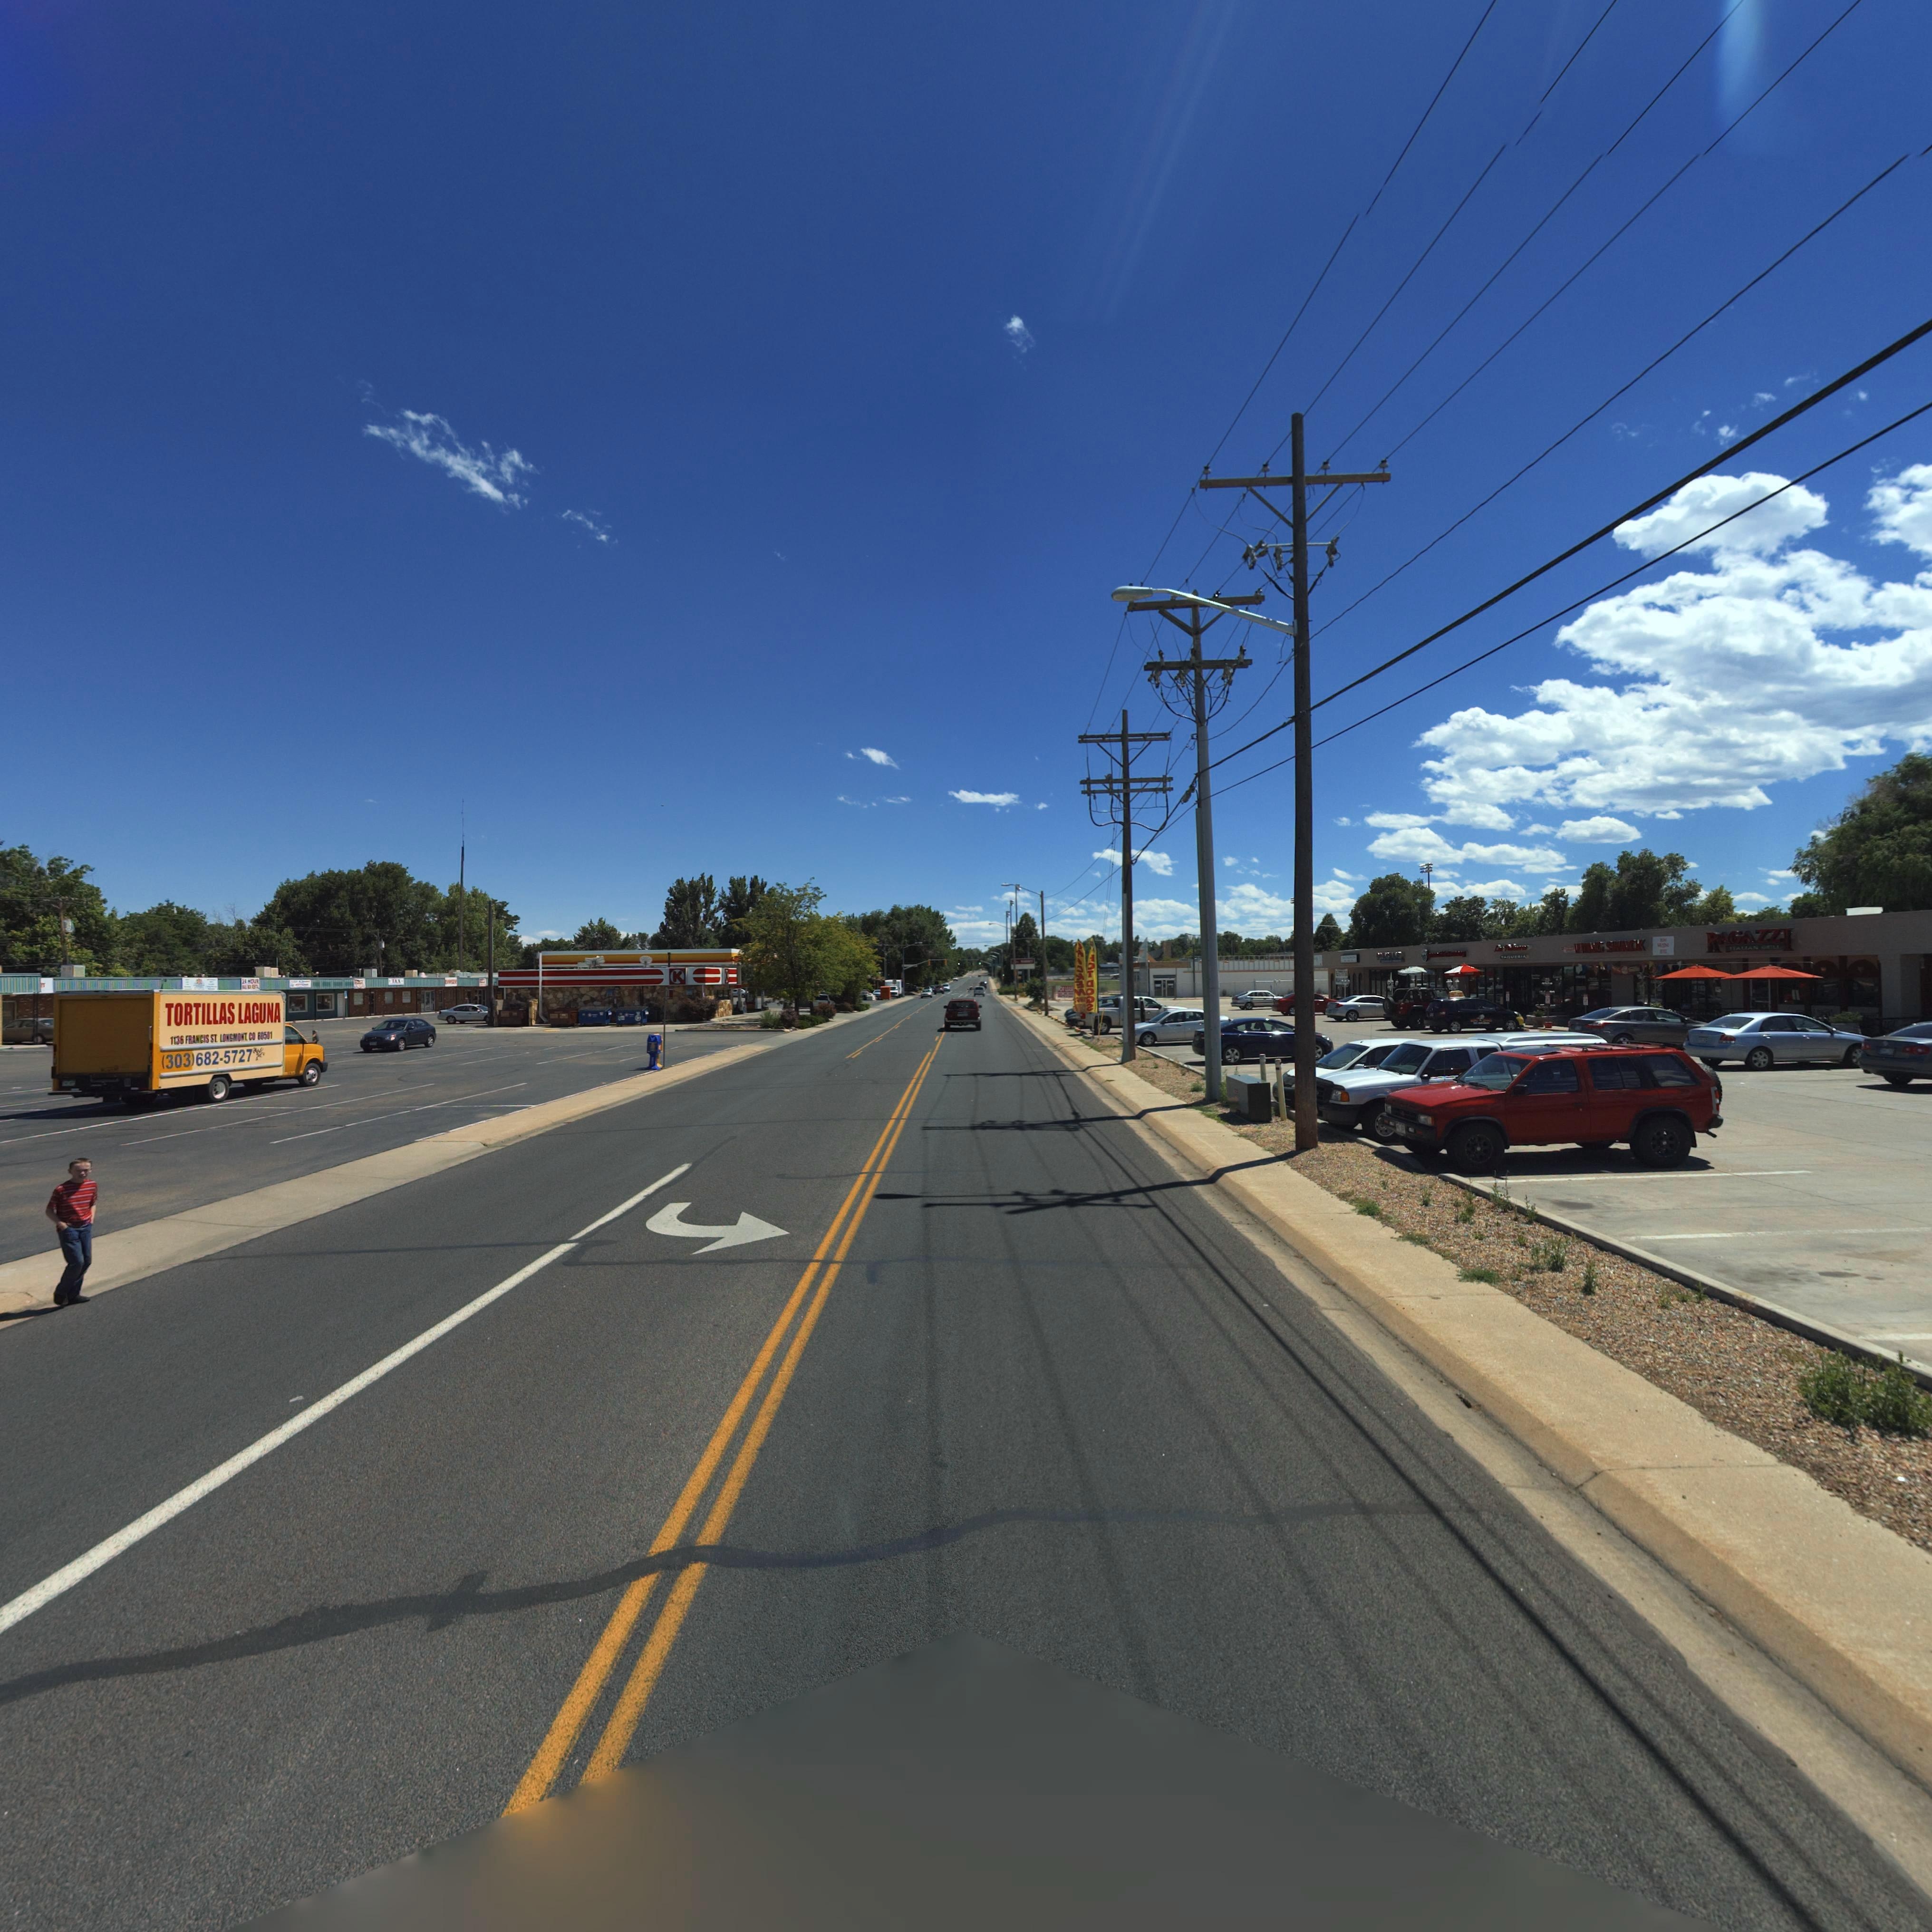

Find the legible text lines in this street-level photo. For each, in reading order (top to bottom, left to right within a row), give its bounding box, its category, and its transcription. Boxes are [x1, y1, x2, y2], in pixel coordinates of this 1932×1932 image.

[1705, 927, 1795, 953] BusinessName: RAGAZZI
[1493, 943, 1528, 952] BusinessName: La P*l*ras
[1573, 938, 1644, 954] BusinessName: ****G SCHACK
[1729, 944, 1781, 951] BusinessName: ITALIAN GRILL
[39, 982, 47, 988] BusinessName: *T
[391, 978, 401, 983] BusinessName: TA*